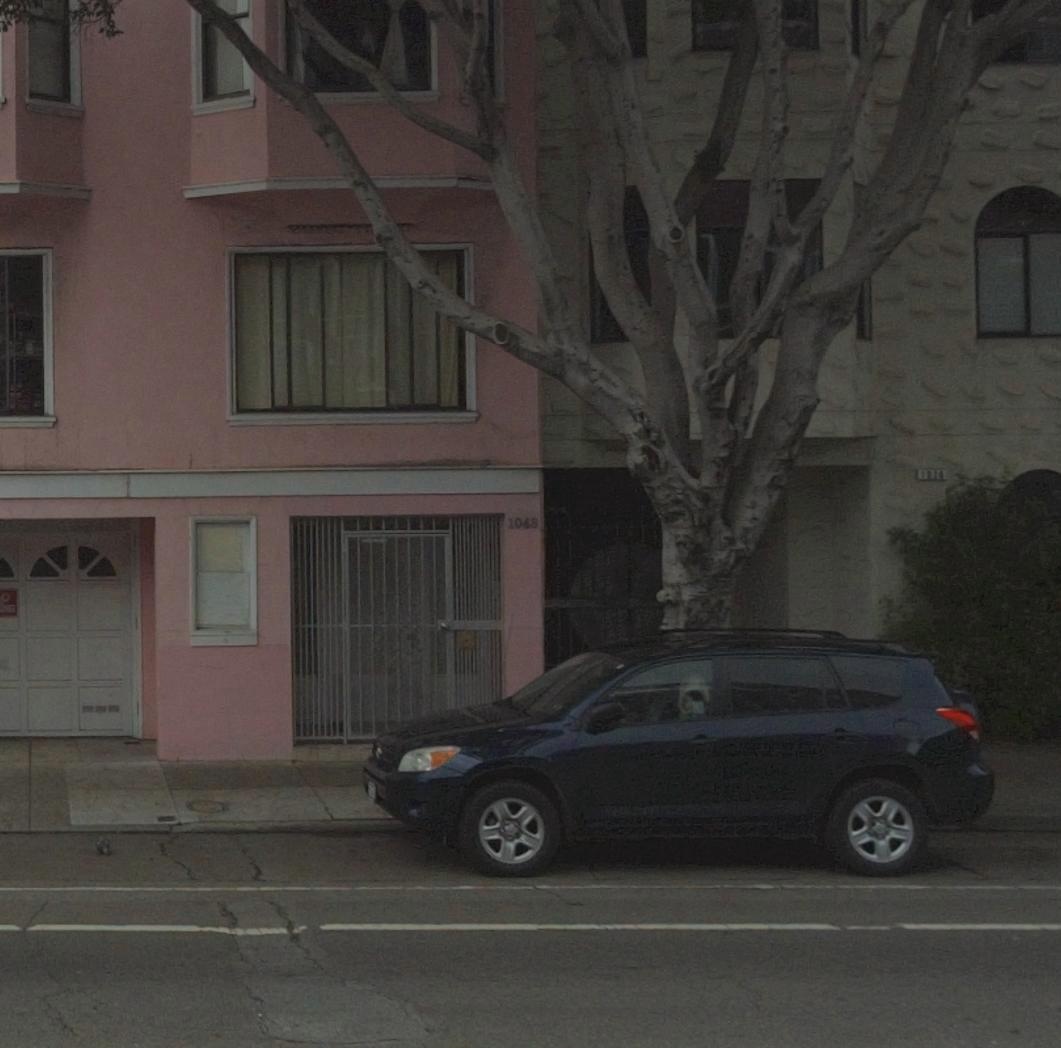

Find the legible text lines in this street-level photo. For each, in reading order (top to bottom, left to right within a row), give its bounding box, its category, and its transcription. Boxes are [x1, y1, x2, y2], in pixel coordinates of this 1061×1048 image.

[917, 469, 945, 480] StreetNumber: 103*
[506, 516, 539, 530] StreetNumber: 1048
[0, 592, 11, 603] None: O